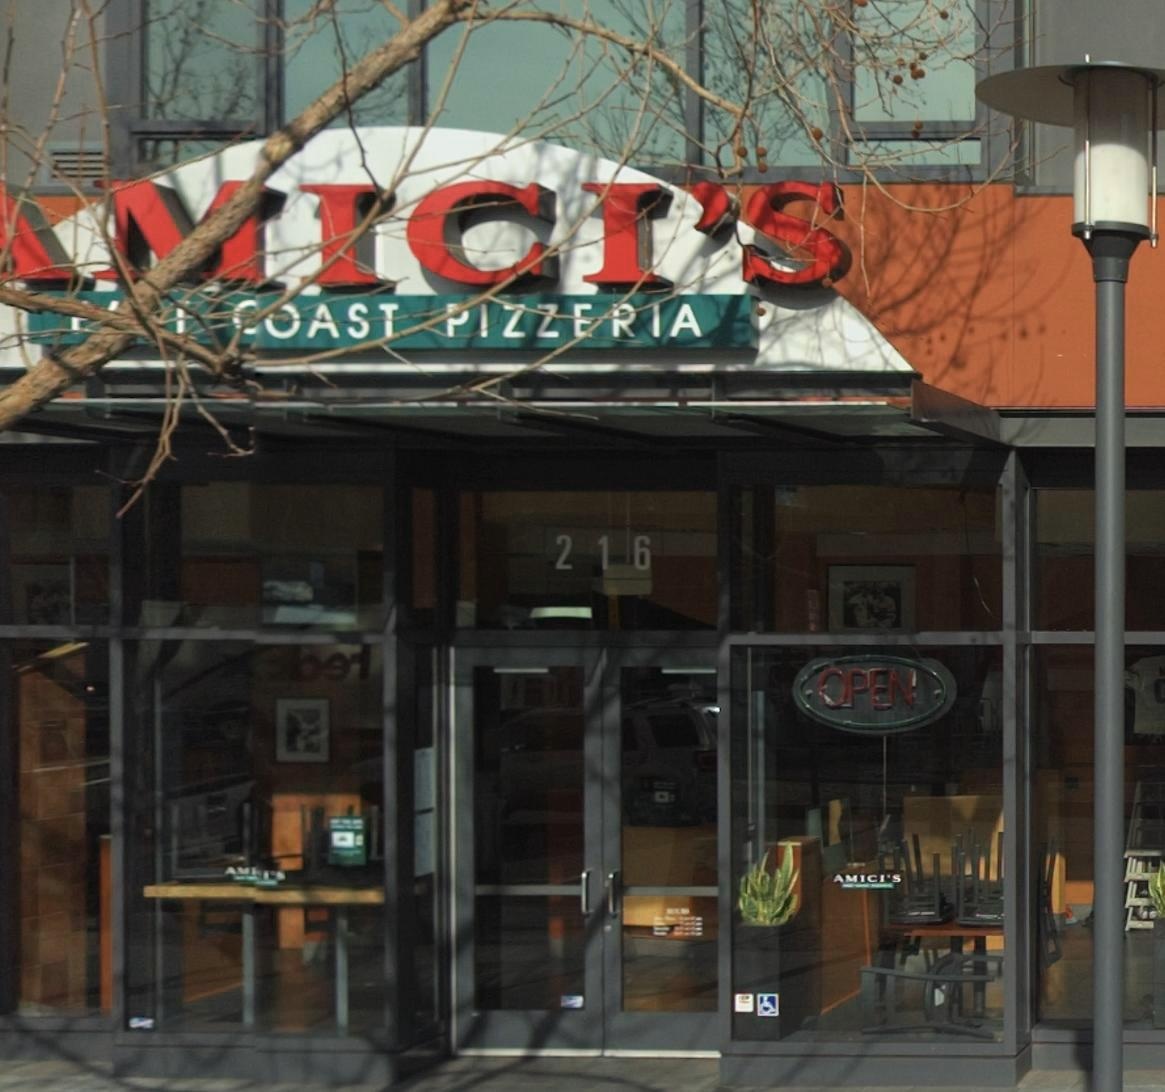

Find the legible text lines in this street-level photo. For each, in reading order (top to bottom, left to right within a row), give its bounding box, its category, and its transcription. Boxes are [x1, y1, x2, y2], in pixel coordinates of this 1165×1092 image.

[293, 176, 851, 291] BusinessName: ICI'S
[300, 299, 708, 342] BusinessName: AST *IZZ**IA
[551, 531, 655, 574] StreetNumber: 216
[815, 664, 917, 714] None: OPEN
[222, 863, 251, 878] BusinessName: AM
[830, 871, 904, 885] BusinessName: AMICI'S